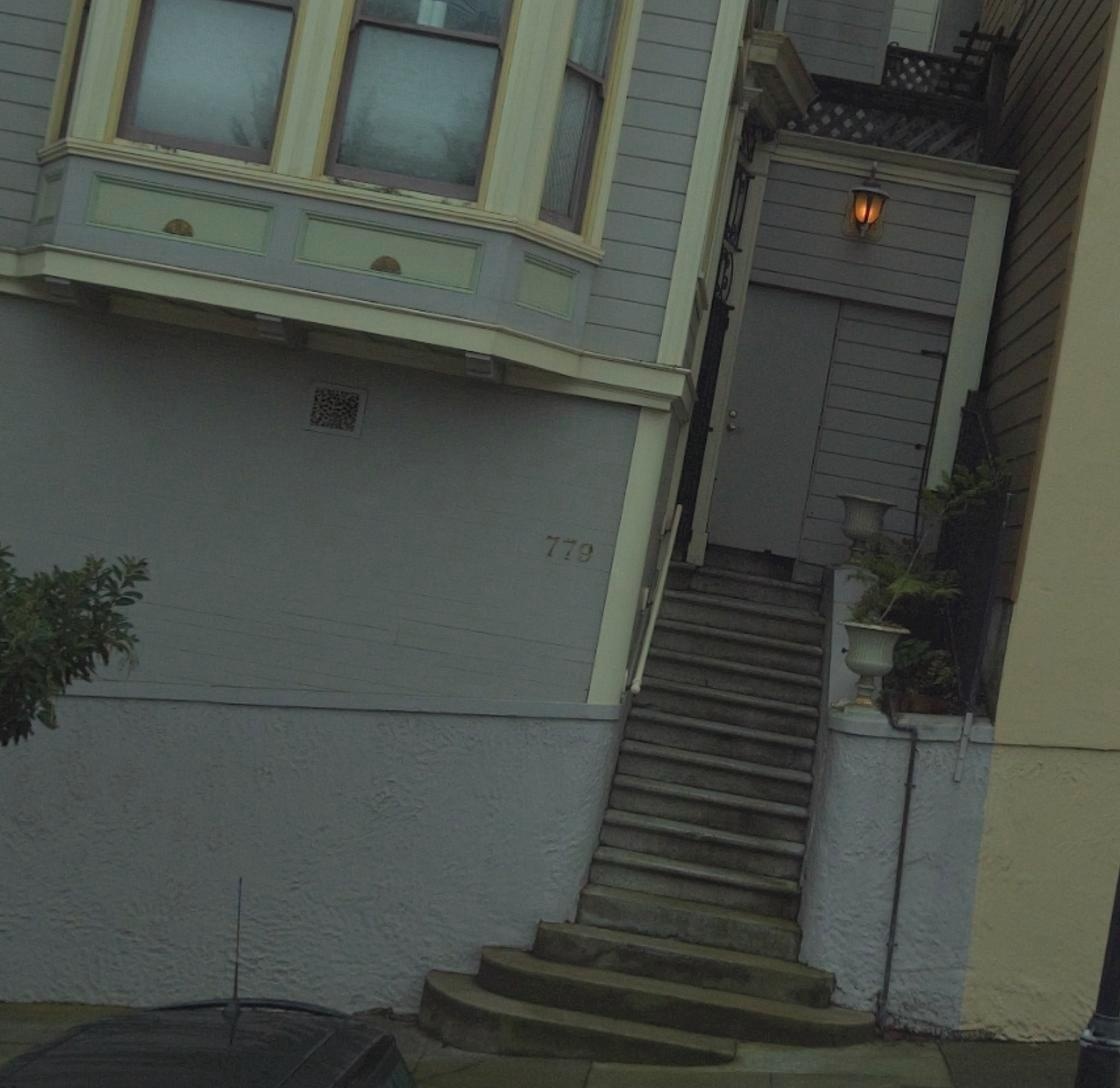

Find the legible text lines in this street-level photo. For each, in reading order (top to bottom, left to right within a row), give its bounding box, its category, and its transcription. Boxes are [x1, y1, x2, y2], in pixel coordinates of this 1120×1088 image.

[540, 532, 599, 566] StreetNumber: 779